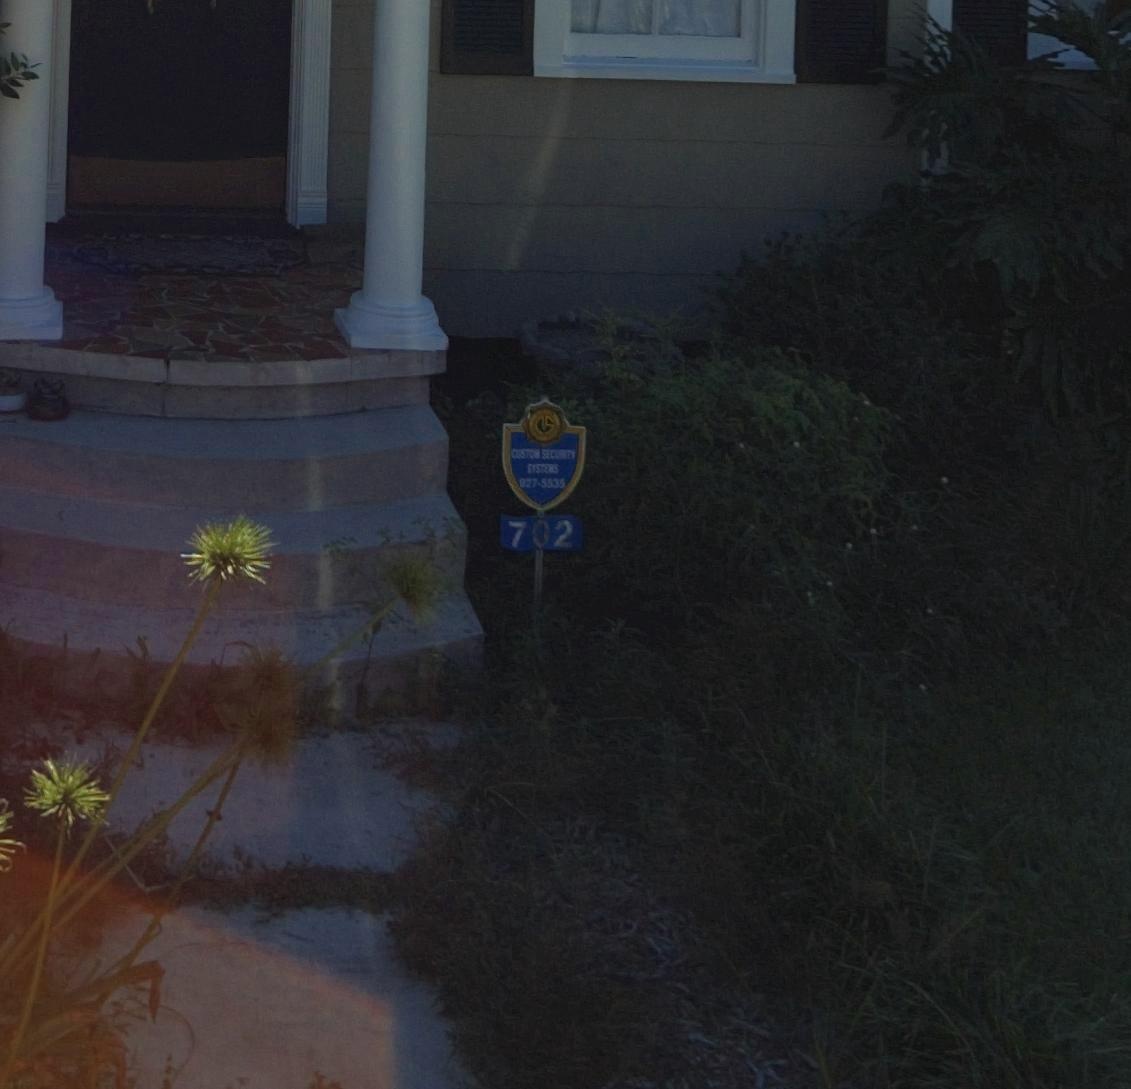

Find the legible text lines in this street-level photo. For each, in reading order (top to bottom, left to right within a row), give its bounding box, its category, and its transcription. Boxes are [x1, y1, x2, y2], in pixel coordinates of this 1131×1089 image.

[515, 474, 569, 492] None: *27-55**
[505, 517, 576, 550] StreetNumber: 702